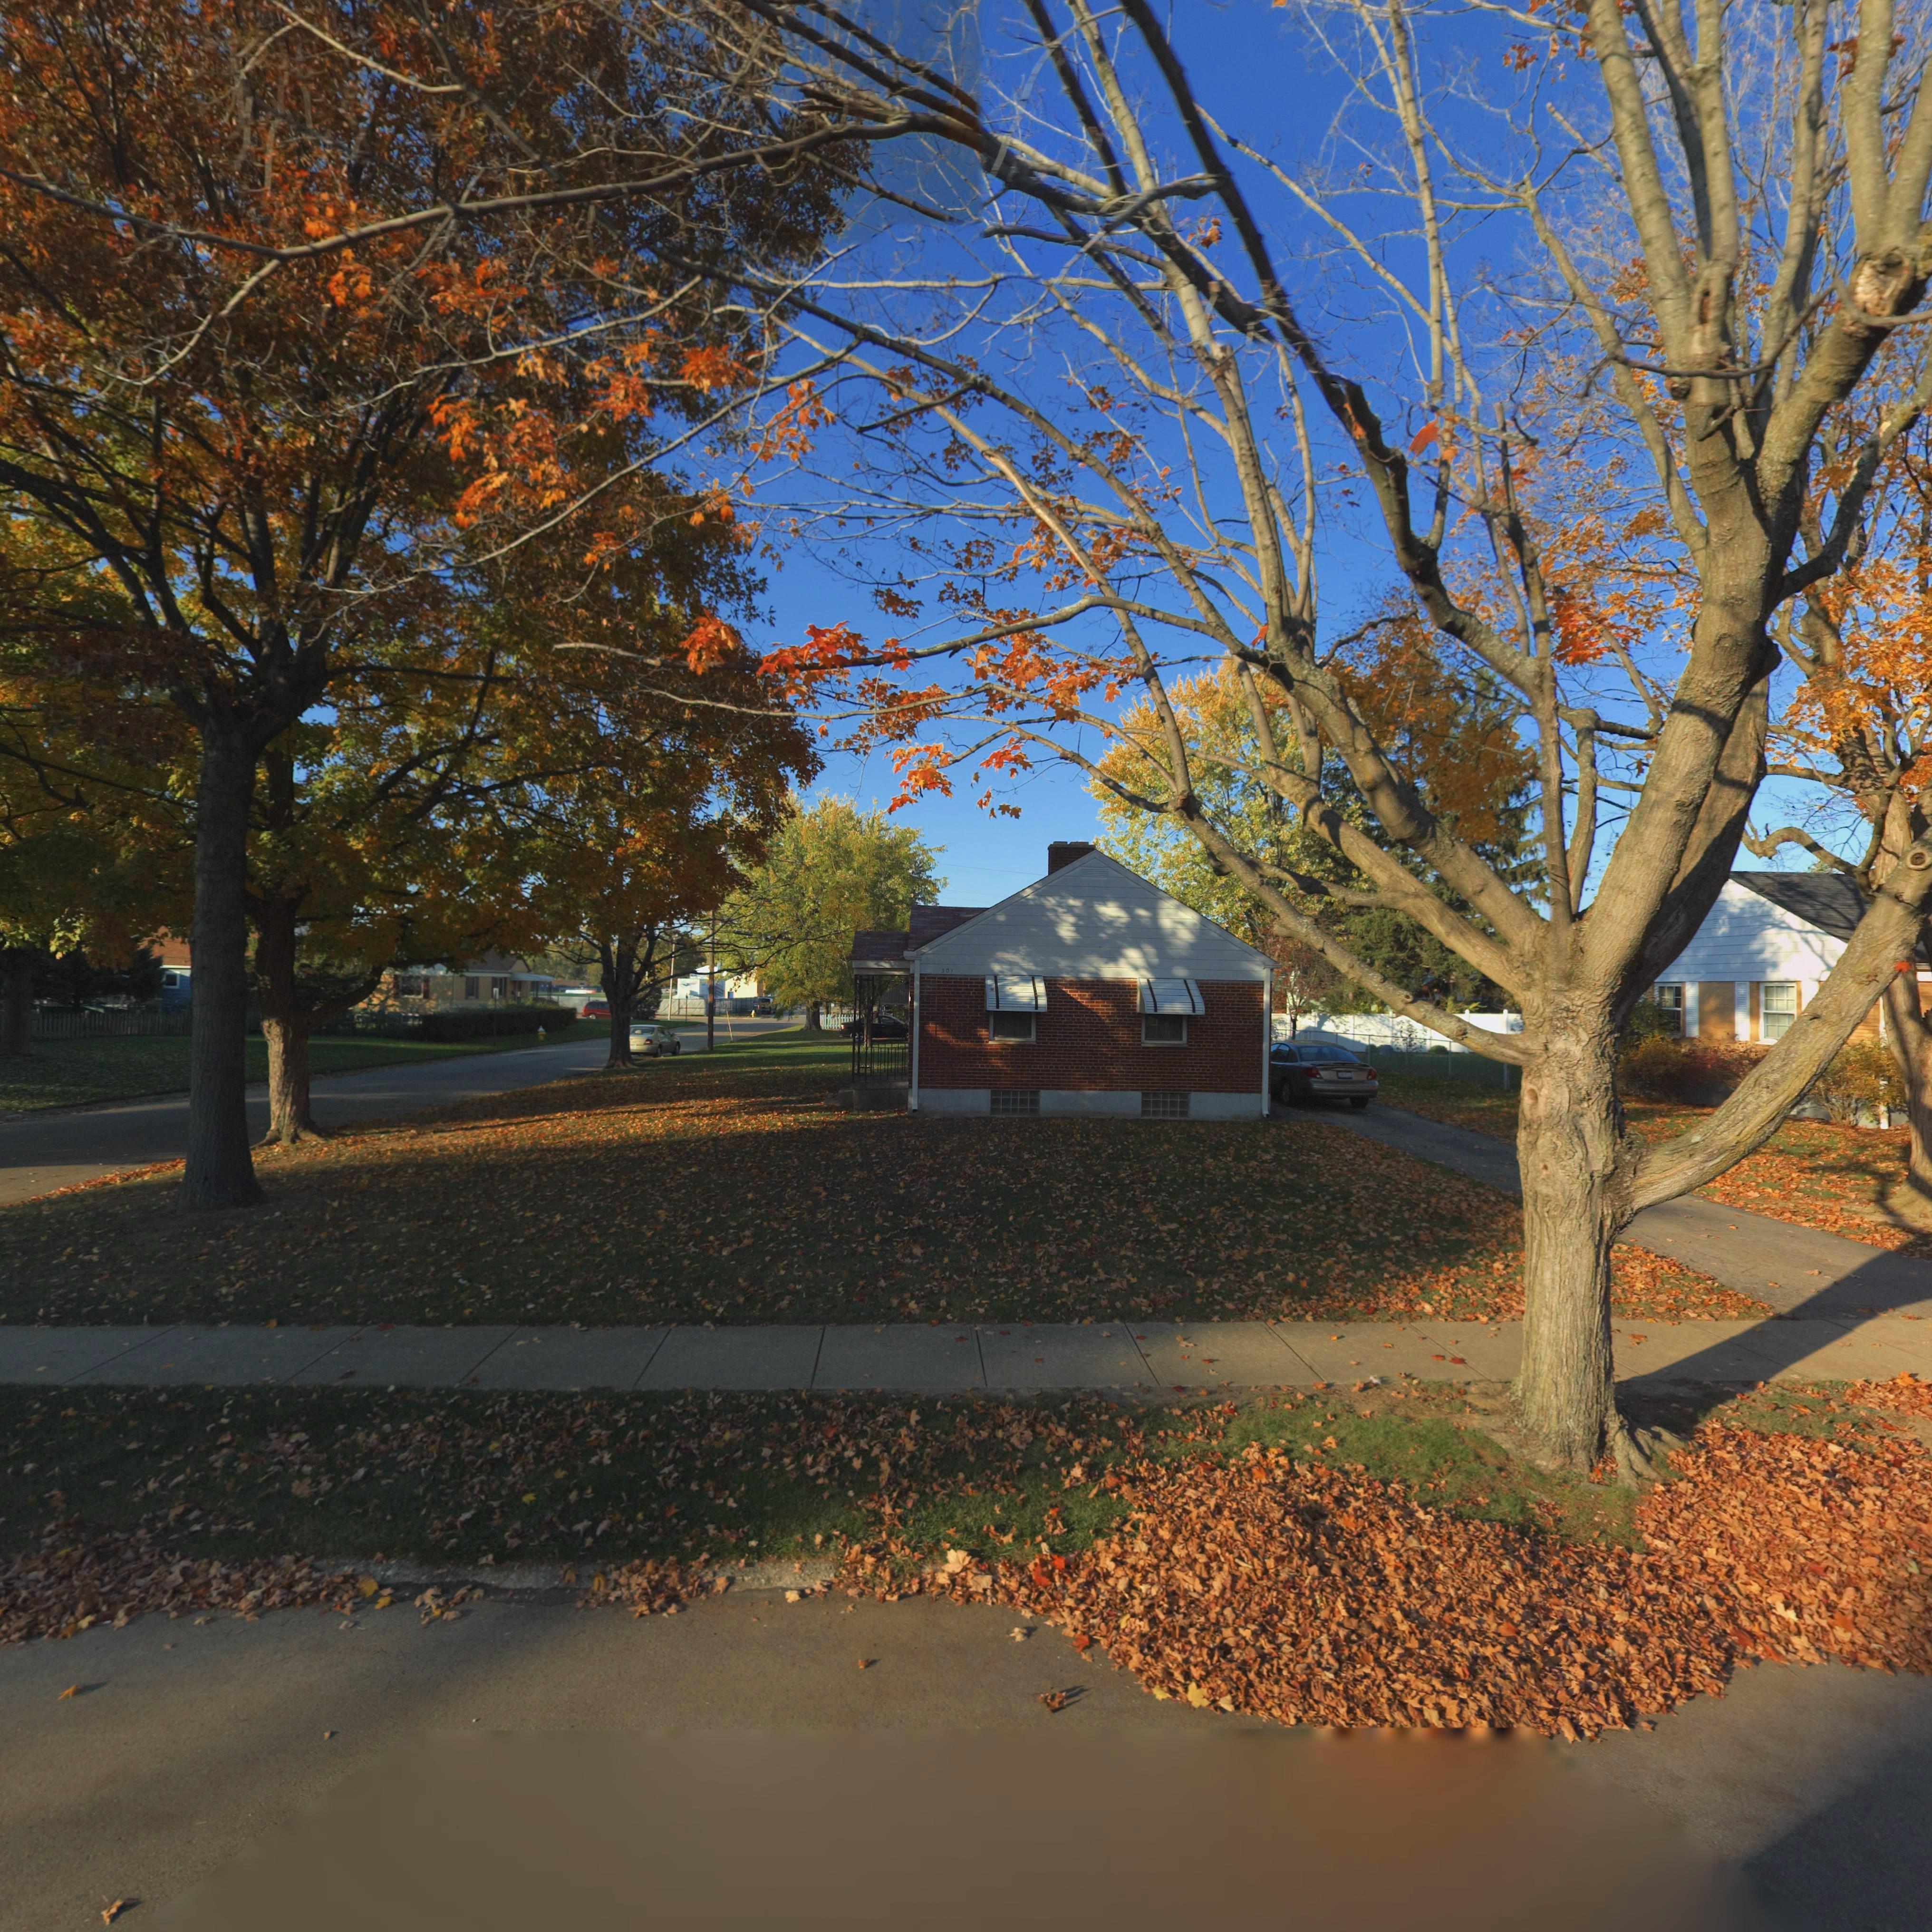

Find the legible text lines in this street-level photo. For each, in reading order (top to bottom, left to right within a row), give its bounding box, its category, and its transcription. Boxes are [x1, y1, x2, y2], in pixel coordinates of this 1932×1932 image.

[941, 967, 953, 973] StreetNumber: 301